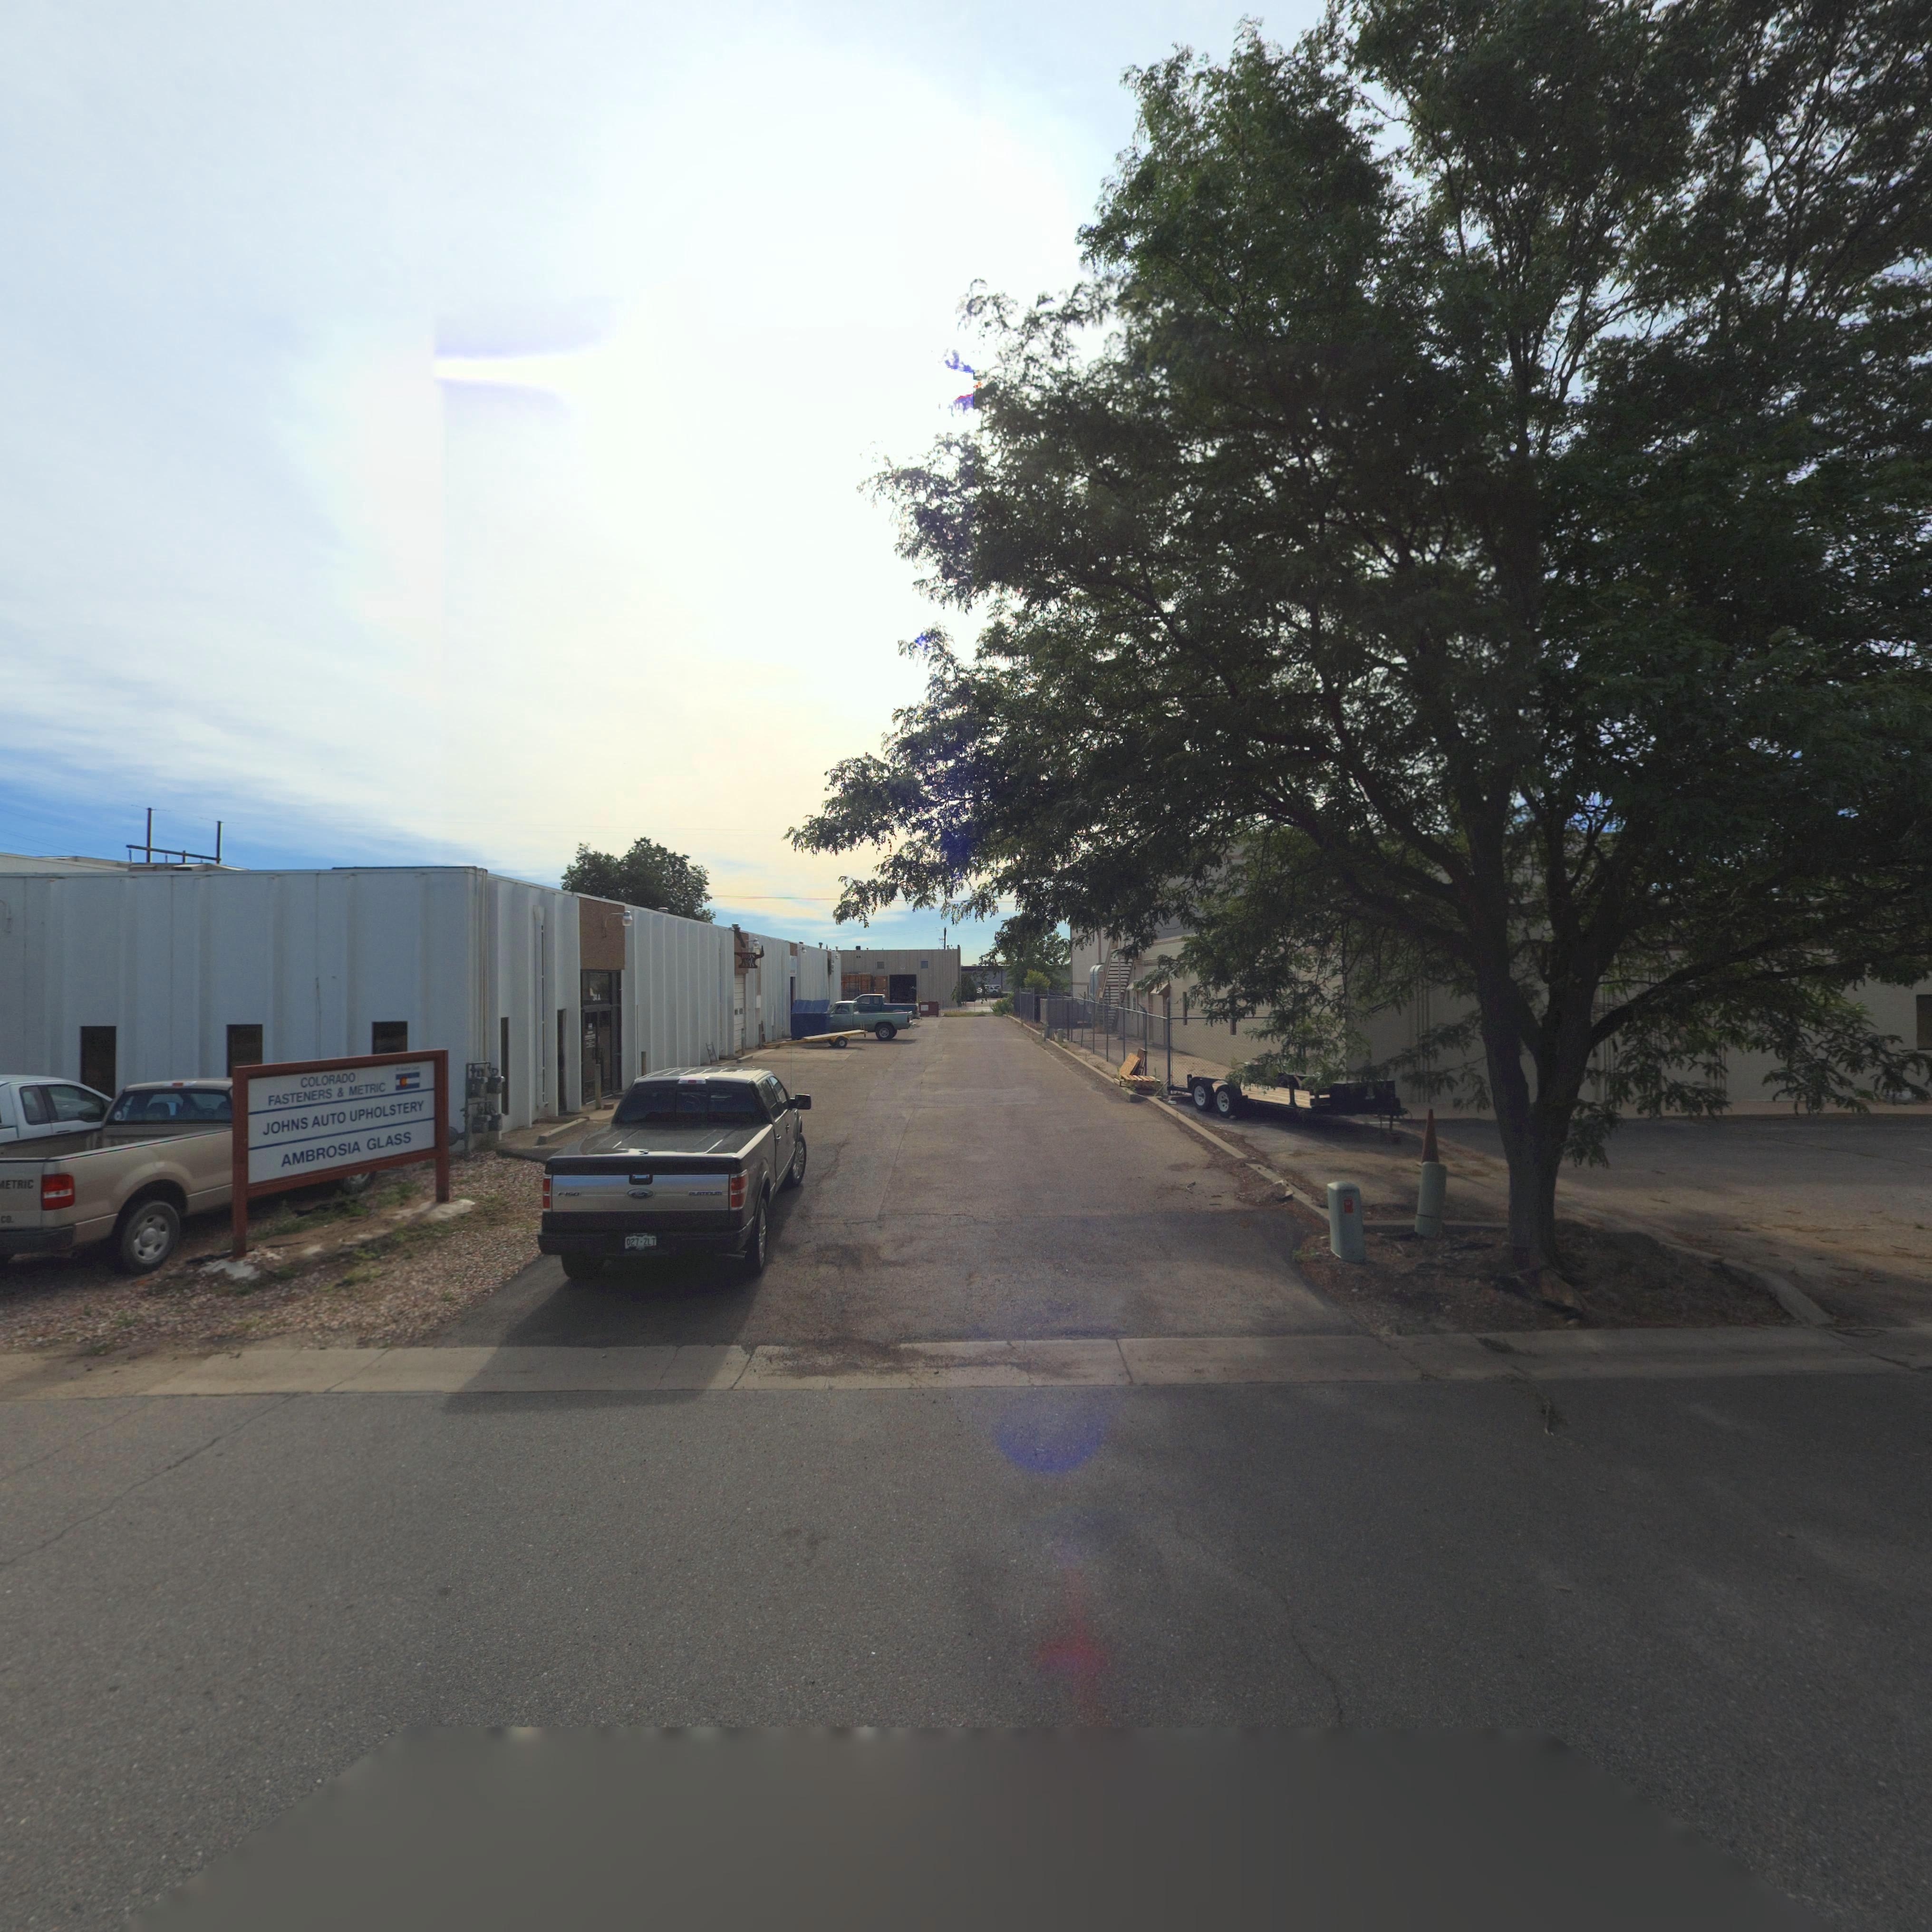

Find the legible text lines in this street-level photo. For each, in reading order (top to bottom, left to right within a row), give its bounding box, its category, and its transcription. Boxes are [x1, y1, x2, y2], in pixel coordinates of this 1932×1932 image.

[743, 958, 753, 962] BusinessName: AGE
[741, 953, 755, 958] BusinessName: IRON
[742, 962, 755, 967] BusinessName: ARTS
[592, 993, 601, 1001] StreetNumber: 31A
[300, 1072, 356, 1088] BusinessName: COLORADO
[267, 1082, 386, 1106] BusinessName: FASTENERS & METRIC
[262, 1099, 424, 1135] BusinessName: JOHNS AUTO UPHOLSTERY
[280, 1131, 411, 1167] BusinessName: AMBROSIA GLASS